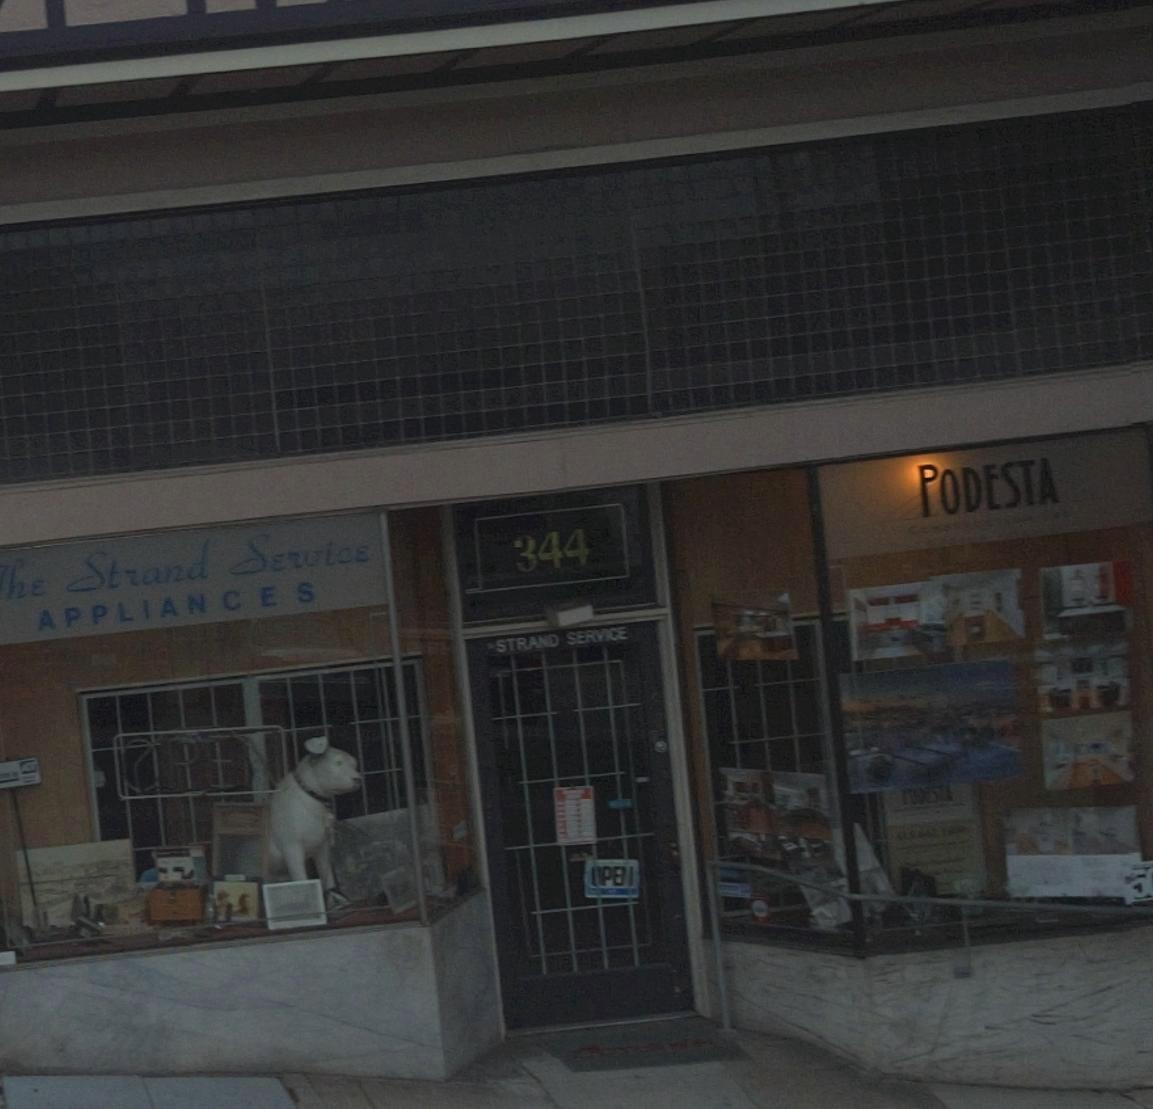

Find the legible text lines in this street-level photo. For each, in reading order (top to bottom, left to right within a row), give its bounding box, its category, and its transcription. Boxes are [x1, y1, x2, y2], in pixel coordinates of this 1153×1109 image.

[916, 456, 1063, 519] None: PODESTA
[5, 529, 371, 603] BusinessName: he Strand Service
[512, 526, 593, 575] StreetNumber: 344
[35, 579, 316, 631] None: APPLIANCES
[485, 641, 495, 650] BusinessName: The
[494, 625, 630, 654] BusinessName: STRAND SERVICE
[21, 760, 39, 773] None: ADT
[119, 733, 283, 796] None: OPEN
[601, 865, 624, 886] None: PE